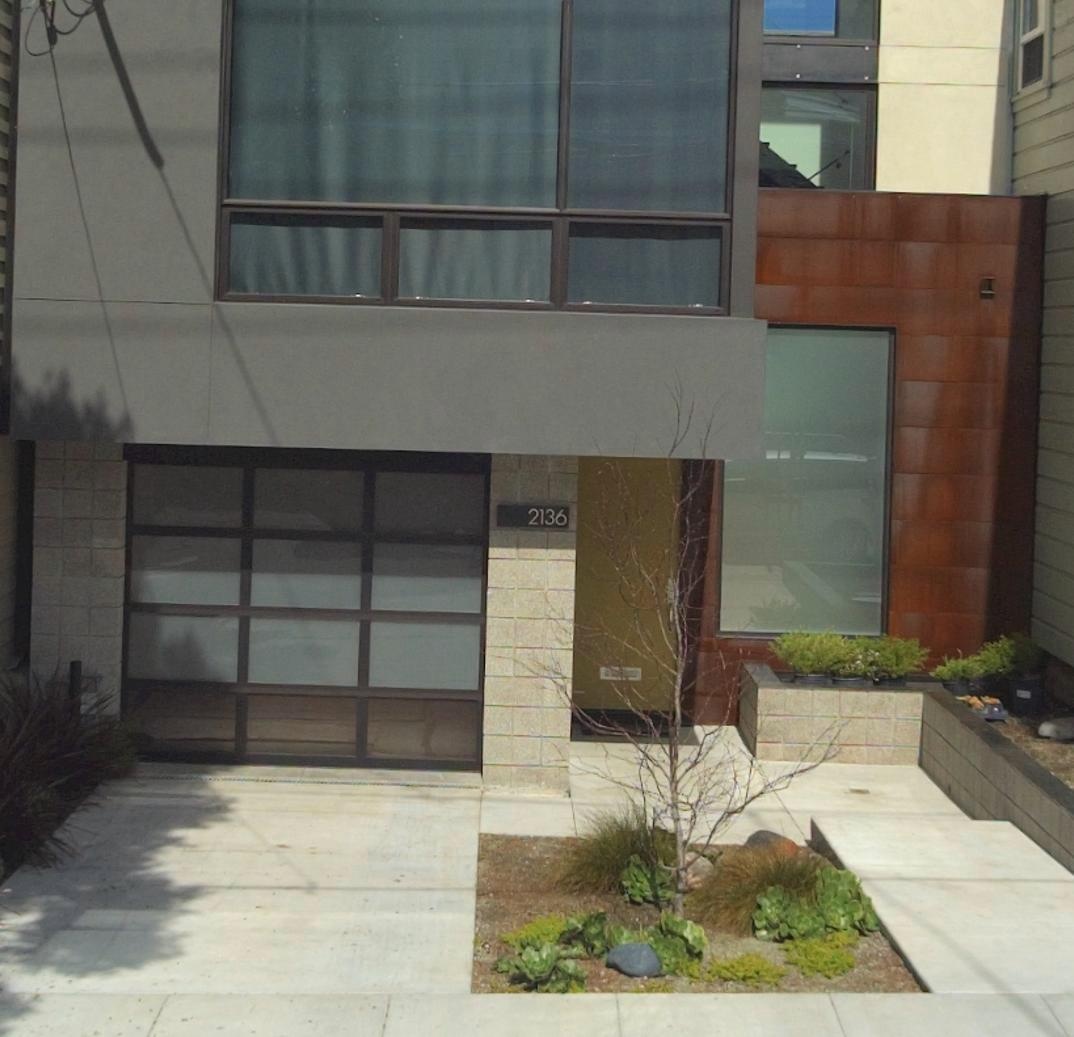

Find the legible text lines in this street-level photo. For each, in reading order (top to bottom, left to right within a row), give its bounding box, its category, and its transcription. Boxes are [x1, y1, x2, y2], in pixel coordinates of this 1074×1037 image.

[526, 506, 568, 528] StreetNumber: 2136